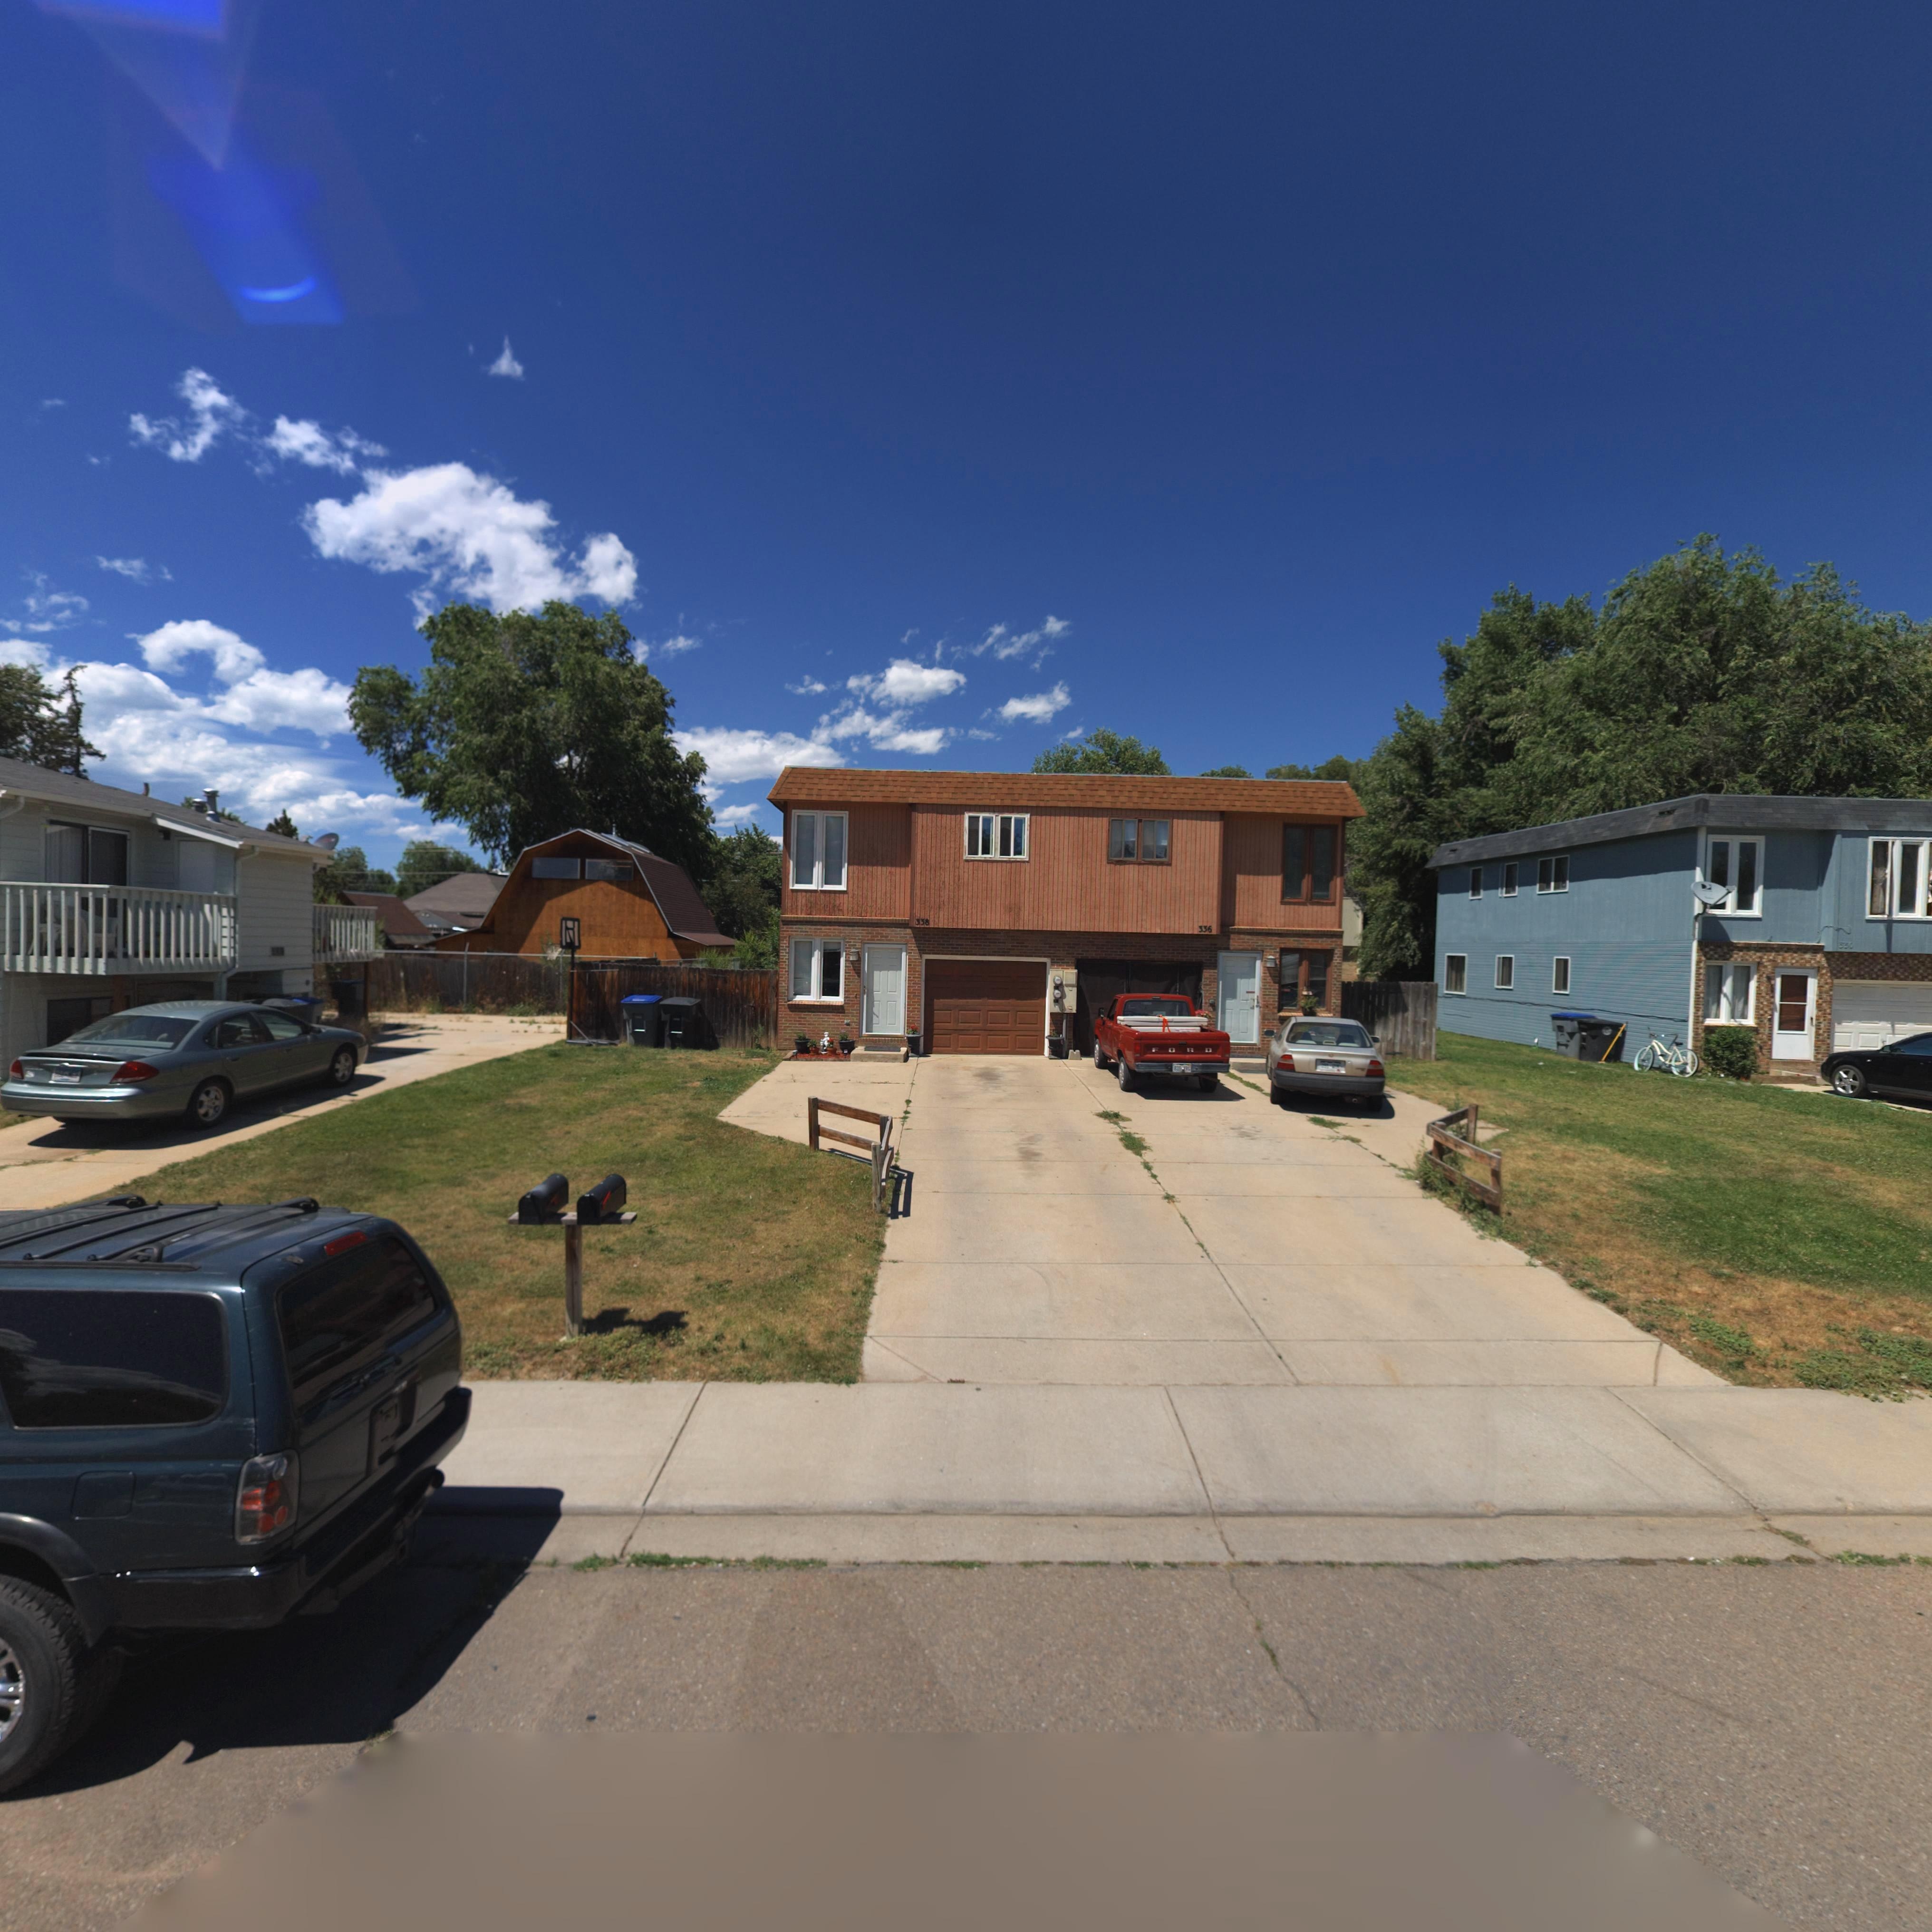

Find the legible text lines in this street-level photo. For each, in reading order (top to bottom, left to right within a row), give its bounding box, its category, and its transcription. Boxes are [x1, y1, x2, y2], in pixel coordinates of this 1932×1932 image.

[915, 918, 929, 926] StreetNumber: 338
[1198, 925, 1212, 933] StreetNumber: 336
[1838, 941, 1854, 949] StreetNumber: 330